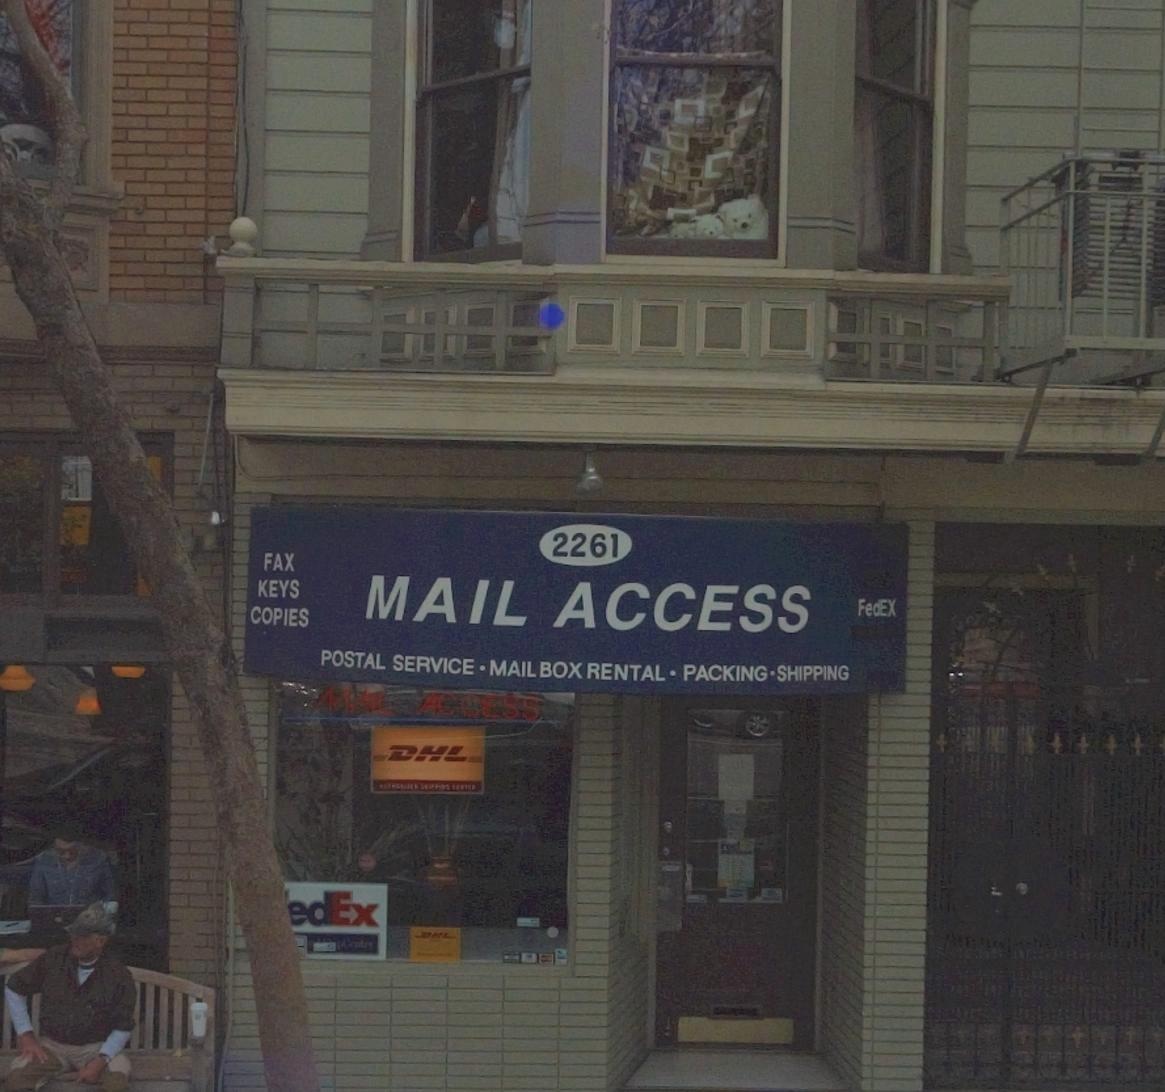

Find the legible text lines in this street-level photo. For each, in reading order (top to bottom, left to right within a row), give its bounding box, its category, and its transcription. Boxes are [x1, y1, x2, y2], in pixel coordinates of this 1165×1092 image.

[547, 529, 622, 561] StreetNumber: 2261
[261, 549, 298, 575] None: FAX
[255, 576, 303, 601] None: KEYS
[247, 603, 313, 631] None: COPIES
[361, 571, 816, 637] BusinessName: MAIL ACCESS
[855, 596, 900, 620] None: FedEX
[317, 646, 854, 687] None: POSTAL SERVICE * MAIL BOX RENTAL * PACKING * SHIPPING
[306, 683, 545, 725] None: M*** ACCESS
[383, 742, 471, 766] None: DHL
[305, 885, 383, 930] None: DEx